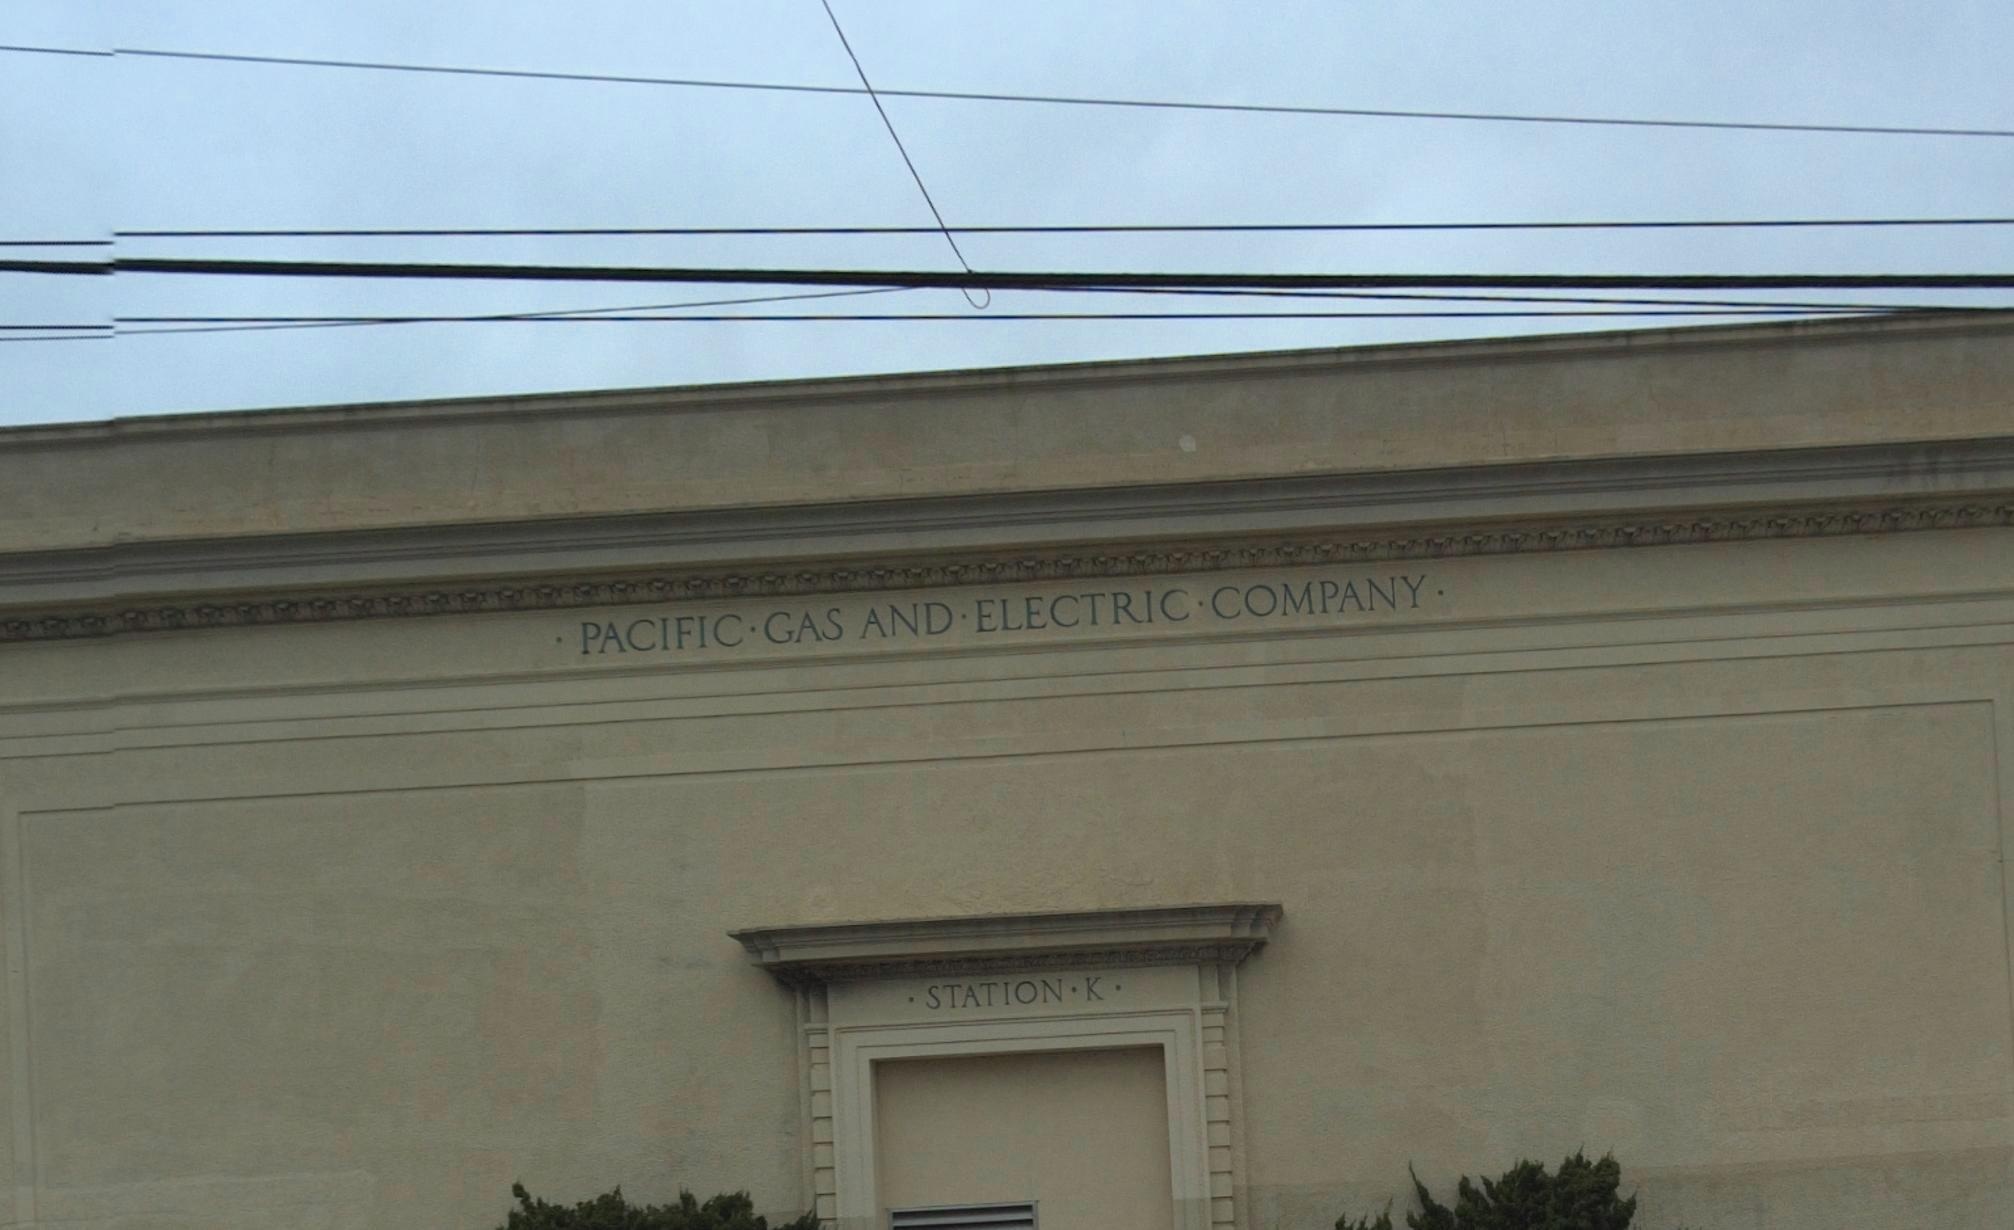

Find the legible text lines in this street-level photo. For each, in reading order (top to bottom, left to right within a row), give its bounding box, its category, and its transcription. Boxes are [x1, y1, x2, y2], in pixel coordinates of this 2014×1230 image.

[578, 570, 1429, 660] BusinessName: PACIFIC*GAS AND*ELECTRIC*COMPANY
[922, 974, 1108, 1012] None: STATION*K